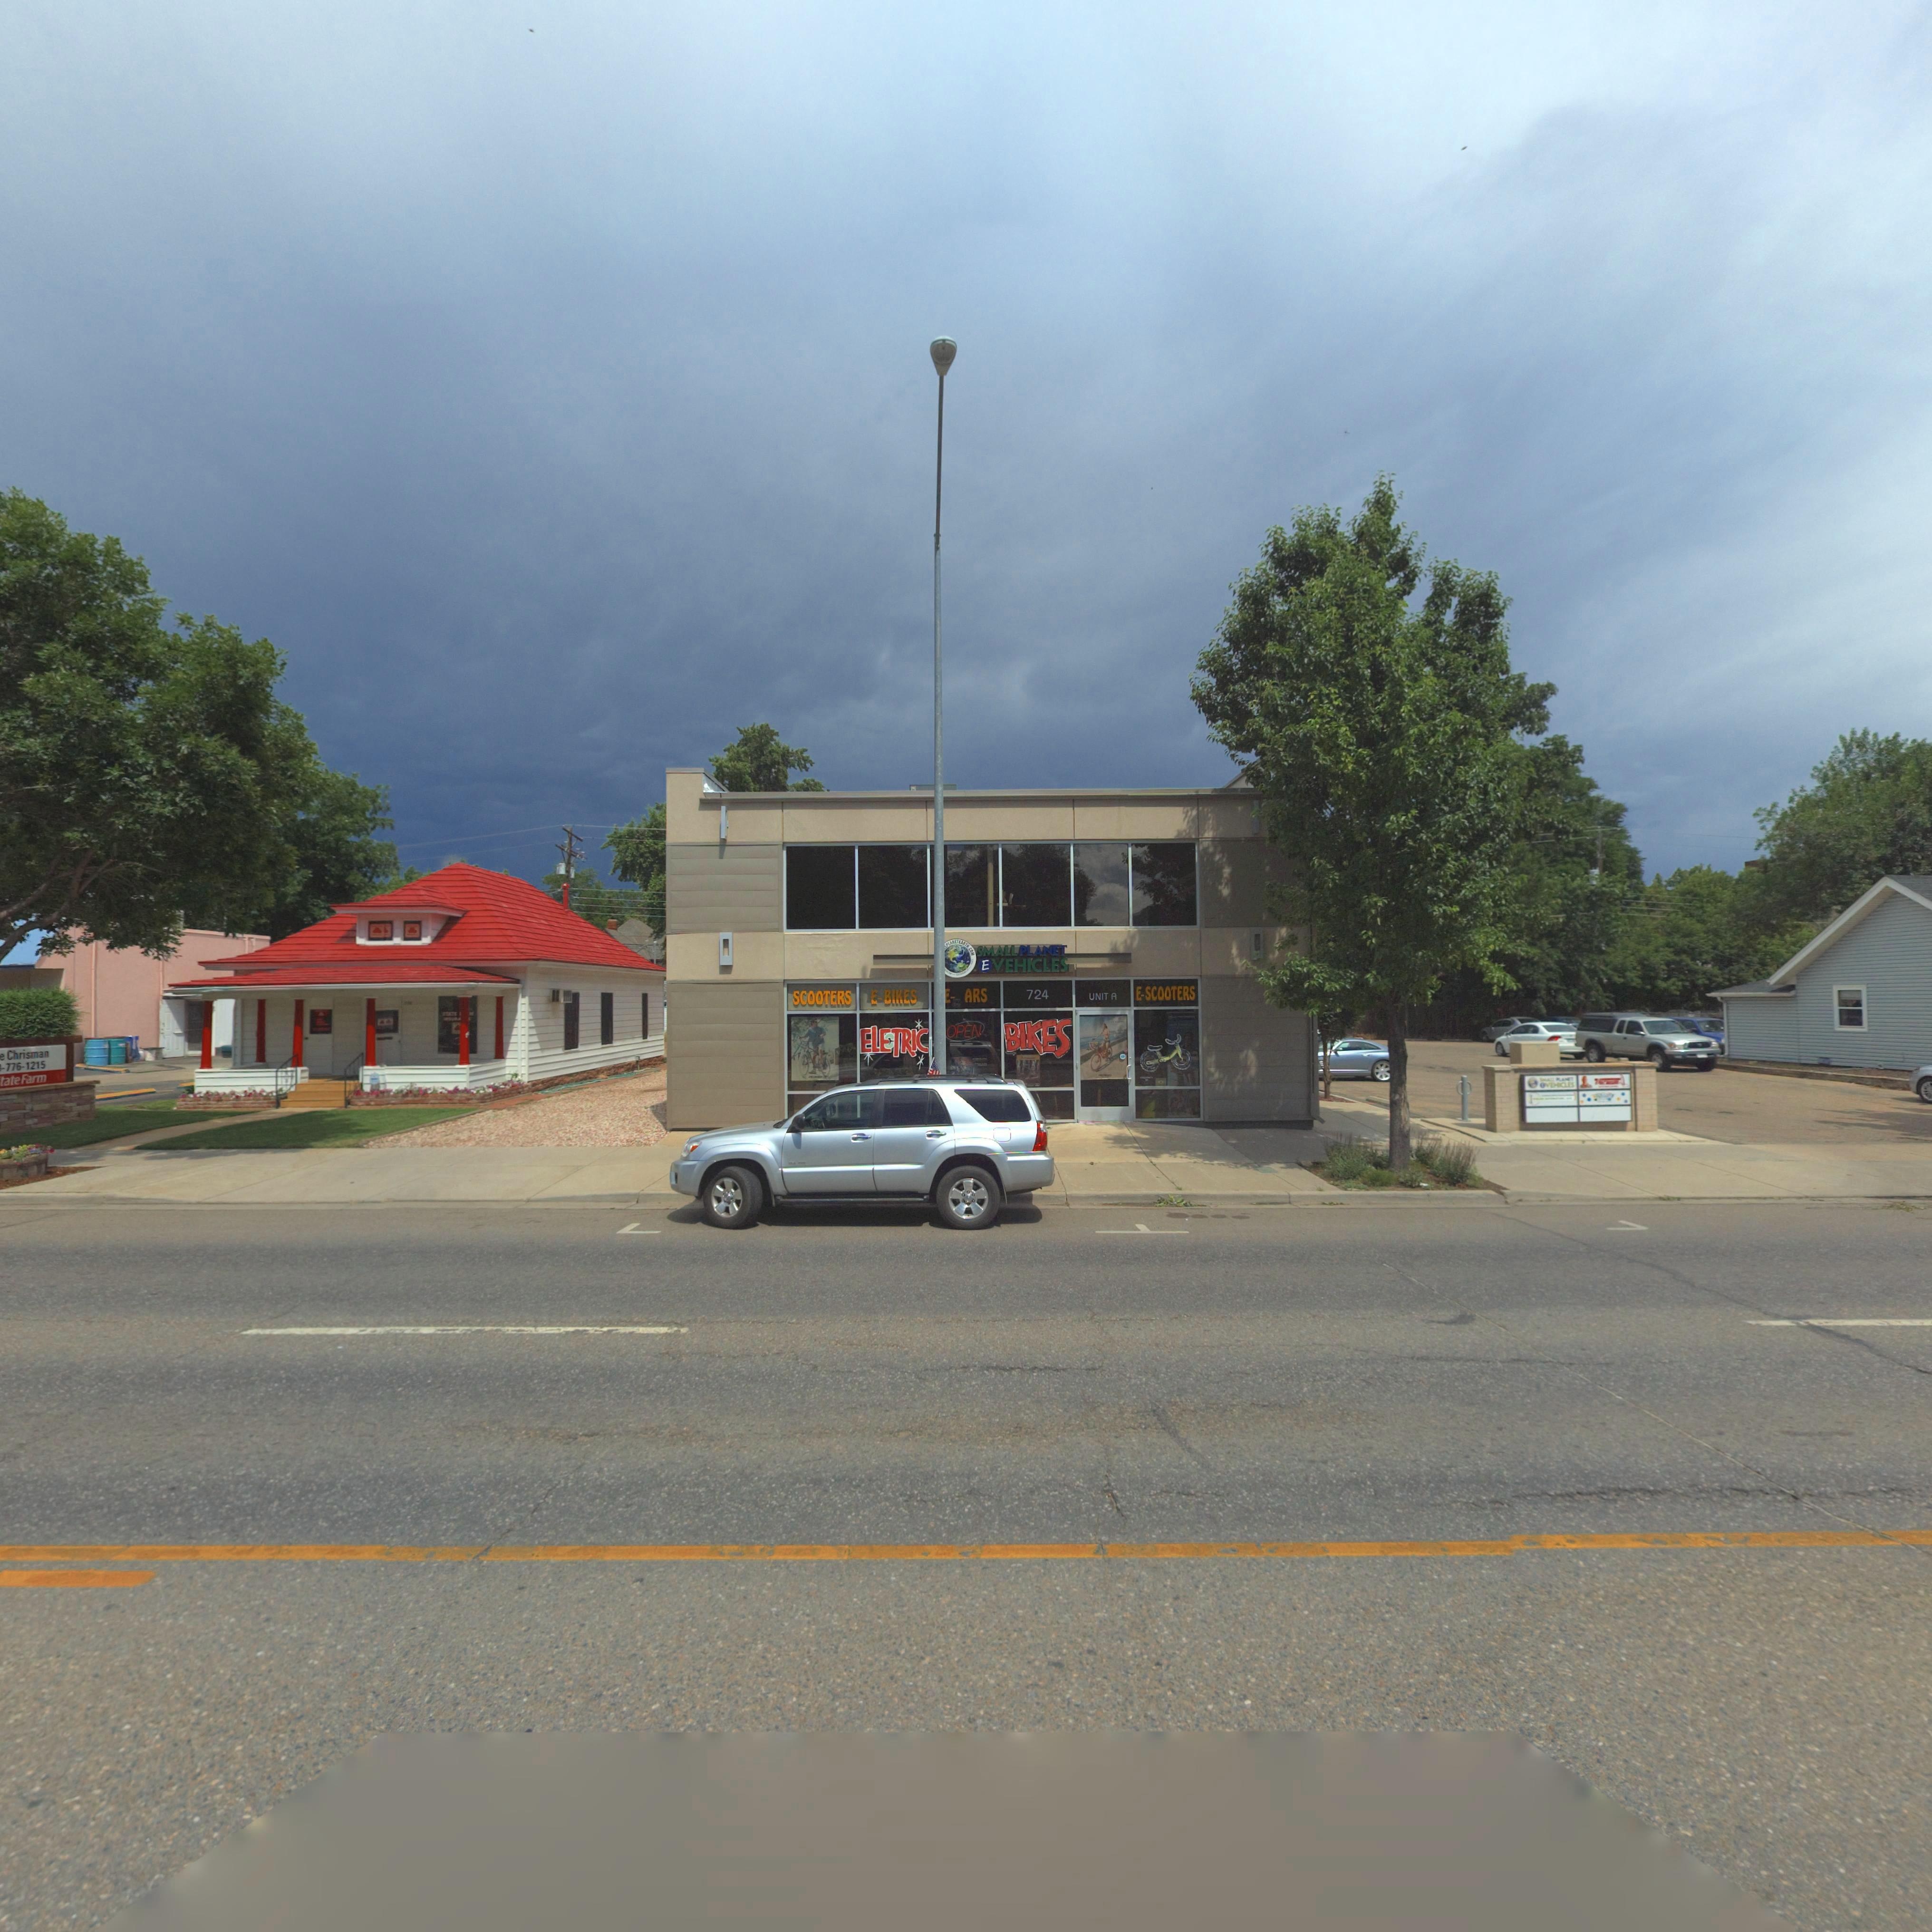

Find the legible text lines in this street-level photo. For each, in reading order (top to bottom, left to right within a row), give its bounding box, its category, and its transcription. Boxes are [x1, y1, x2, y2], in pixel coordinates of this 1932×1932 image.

[976, 945, 1067, 956] BusinessName: SMALLPLANET
[981, 957, 1068, 974] BusinessName: EVEHICLES
[1026, 989, 1049, 1000] StreetNumber: 724
[1089, 992, 1116, 1000] SecondaryUnitDesignator: UNITA
[442, 1011, 474, 1016] BusinessName: STATE ***M
[443, 1016, 457, 1021] BusinessName: INSUR
[0, 1073, 47, 1086] BusinessName: tate Fam
[1539, 1076, 1574, 1082] BusinessName: SMALLPLANET
[1540, 1082, 1575, 1088] BusinessName: *VEHICLES
[1594, 1078, 1621, 1084] BusinessName: 7******T